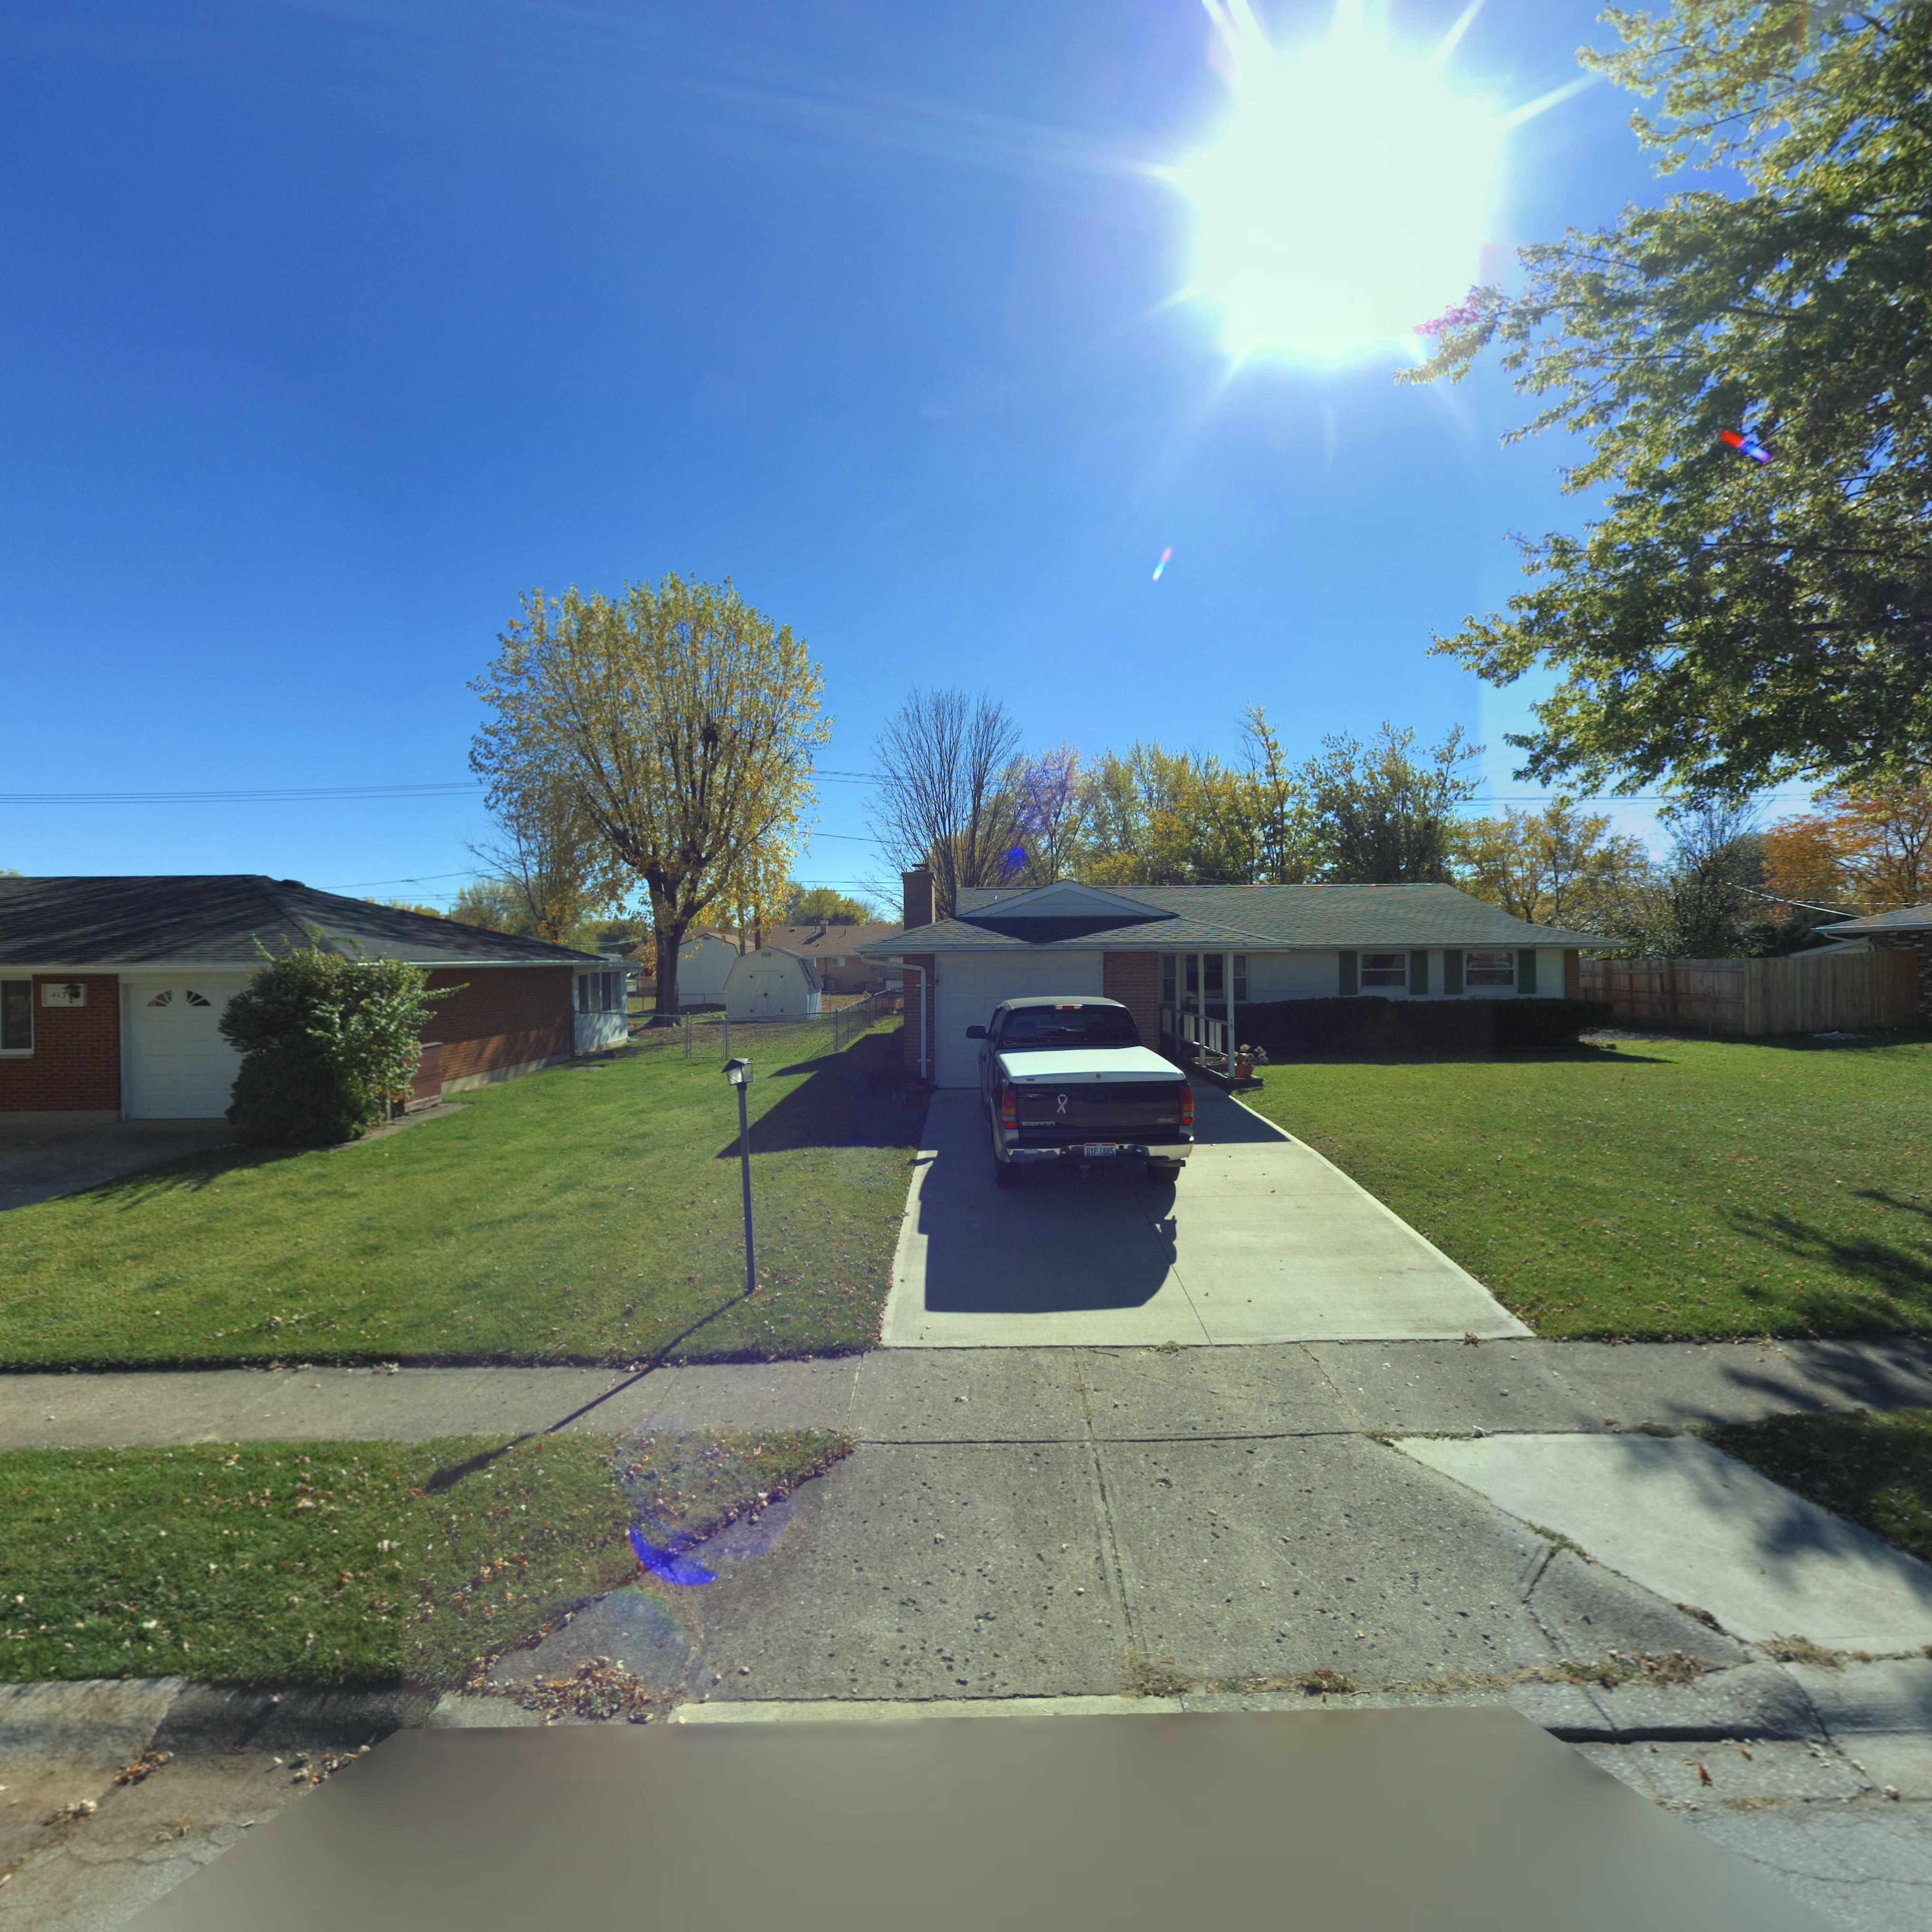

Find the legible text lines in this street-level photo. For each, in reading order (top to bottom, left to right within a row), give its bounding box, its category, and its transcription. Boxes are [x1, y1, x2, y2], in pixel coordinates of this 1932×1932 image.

[50, 990, 68, 999] StreetNumber: 41*